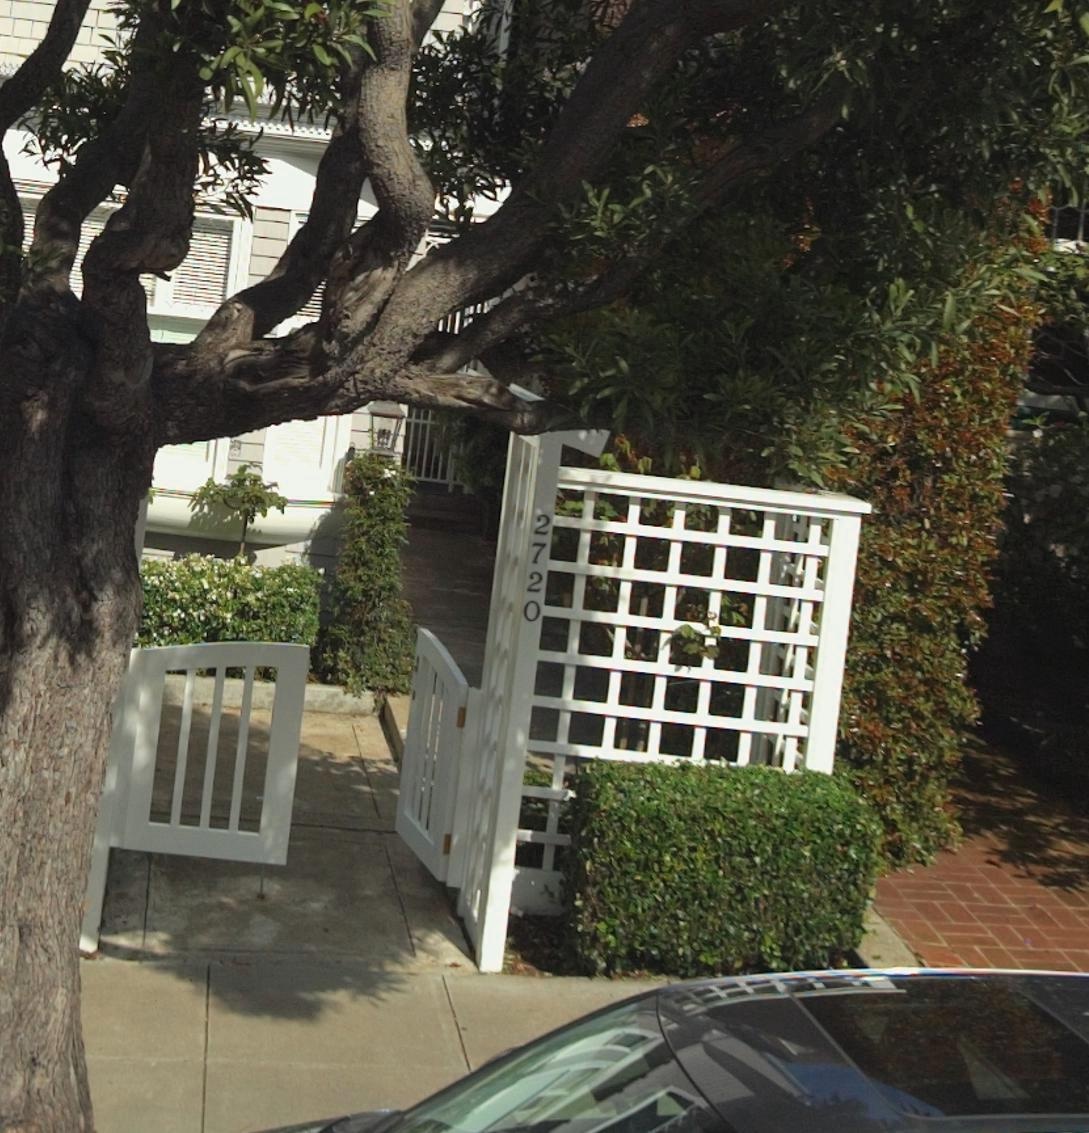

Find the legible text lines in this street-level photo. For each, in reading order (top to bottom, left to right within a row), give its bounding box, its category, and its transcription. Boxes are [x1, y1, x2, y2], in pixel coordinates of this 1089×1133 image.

[521, 512, 554, 625] StreetNumber: 2720